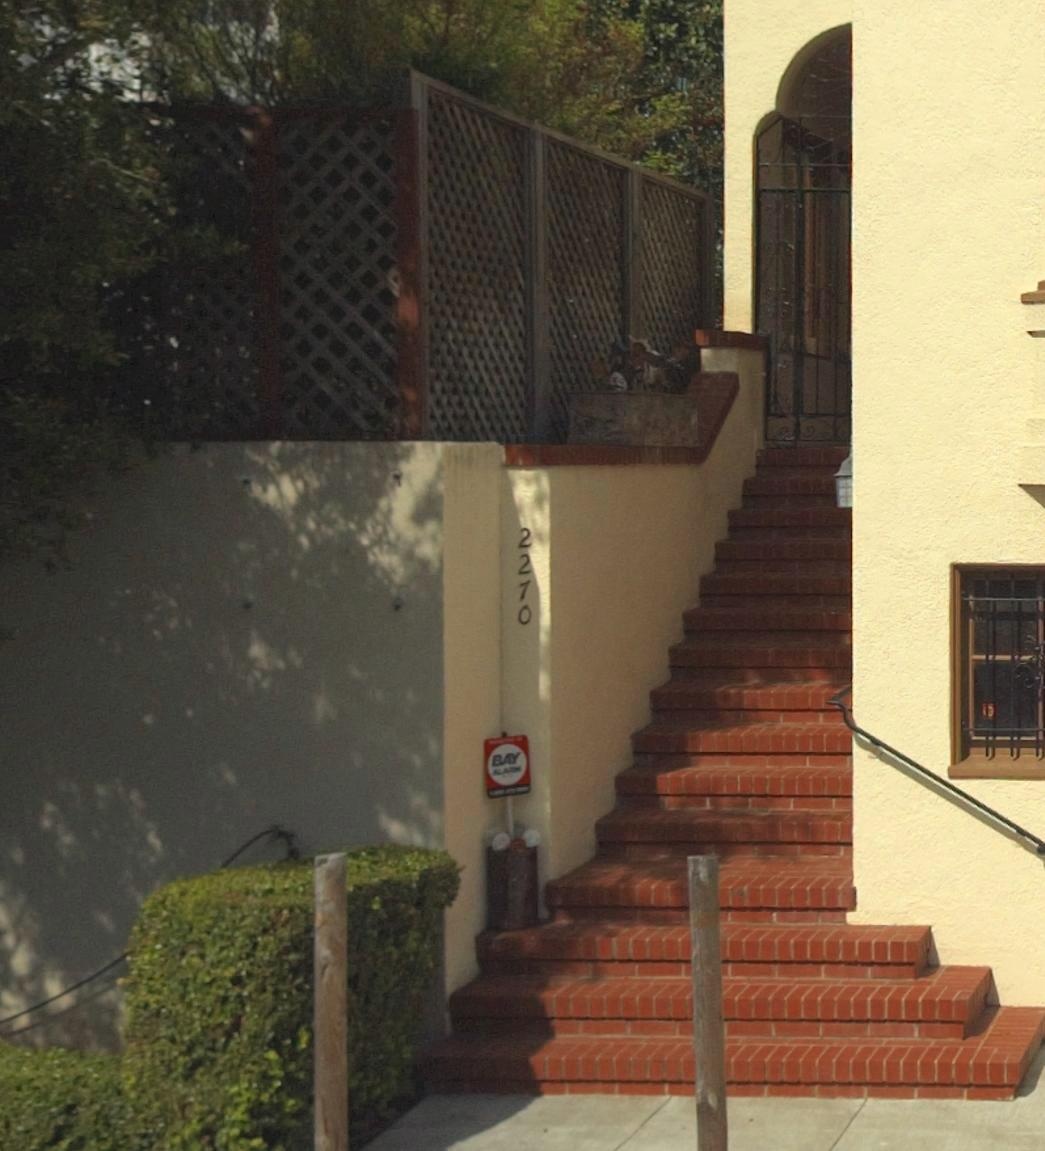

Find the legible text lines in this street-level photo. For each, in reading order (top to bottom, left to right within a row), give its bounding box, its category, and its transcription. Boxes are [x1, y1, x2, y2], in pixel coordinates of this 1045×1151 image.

[514, 524, 535, 629] StreetNumber: 2270
[489, 749, 523, 770] None: BAY